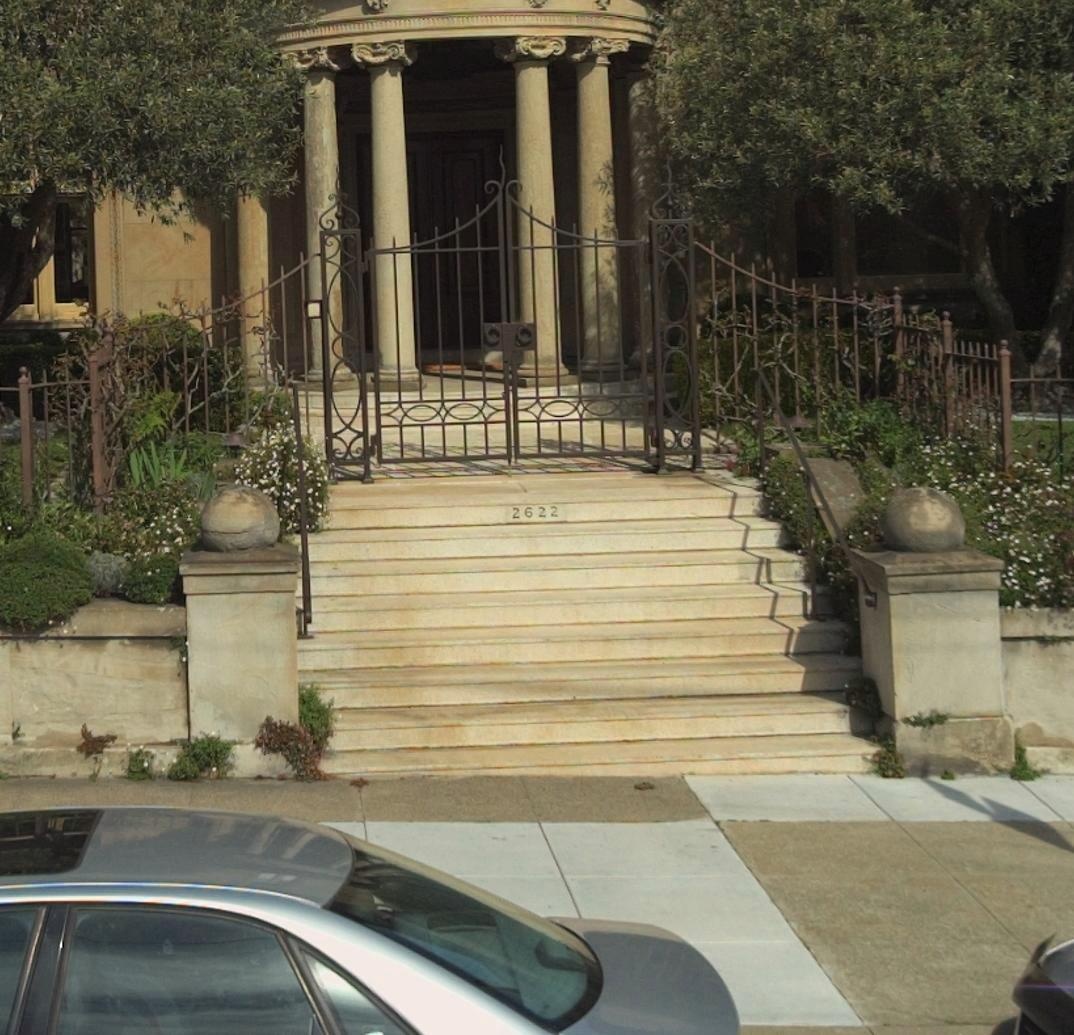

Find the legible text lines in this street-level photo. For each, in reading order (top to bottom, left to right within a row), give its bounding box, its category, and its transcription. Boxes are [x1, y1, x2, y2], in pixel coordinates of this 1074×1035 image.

[510, 504, 560, 520] StreetNumber: 2622